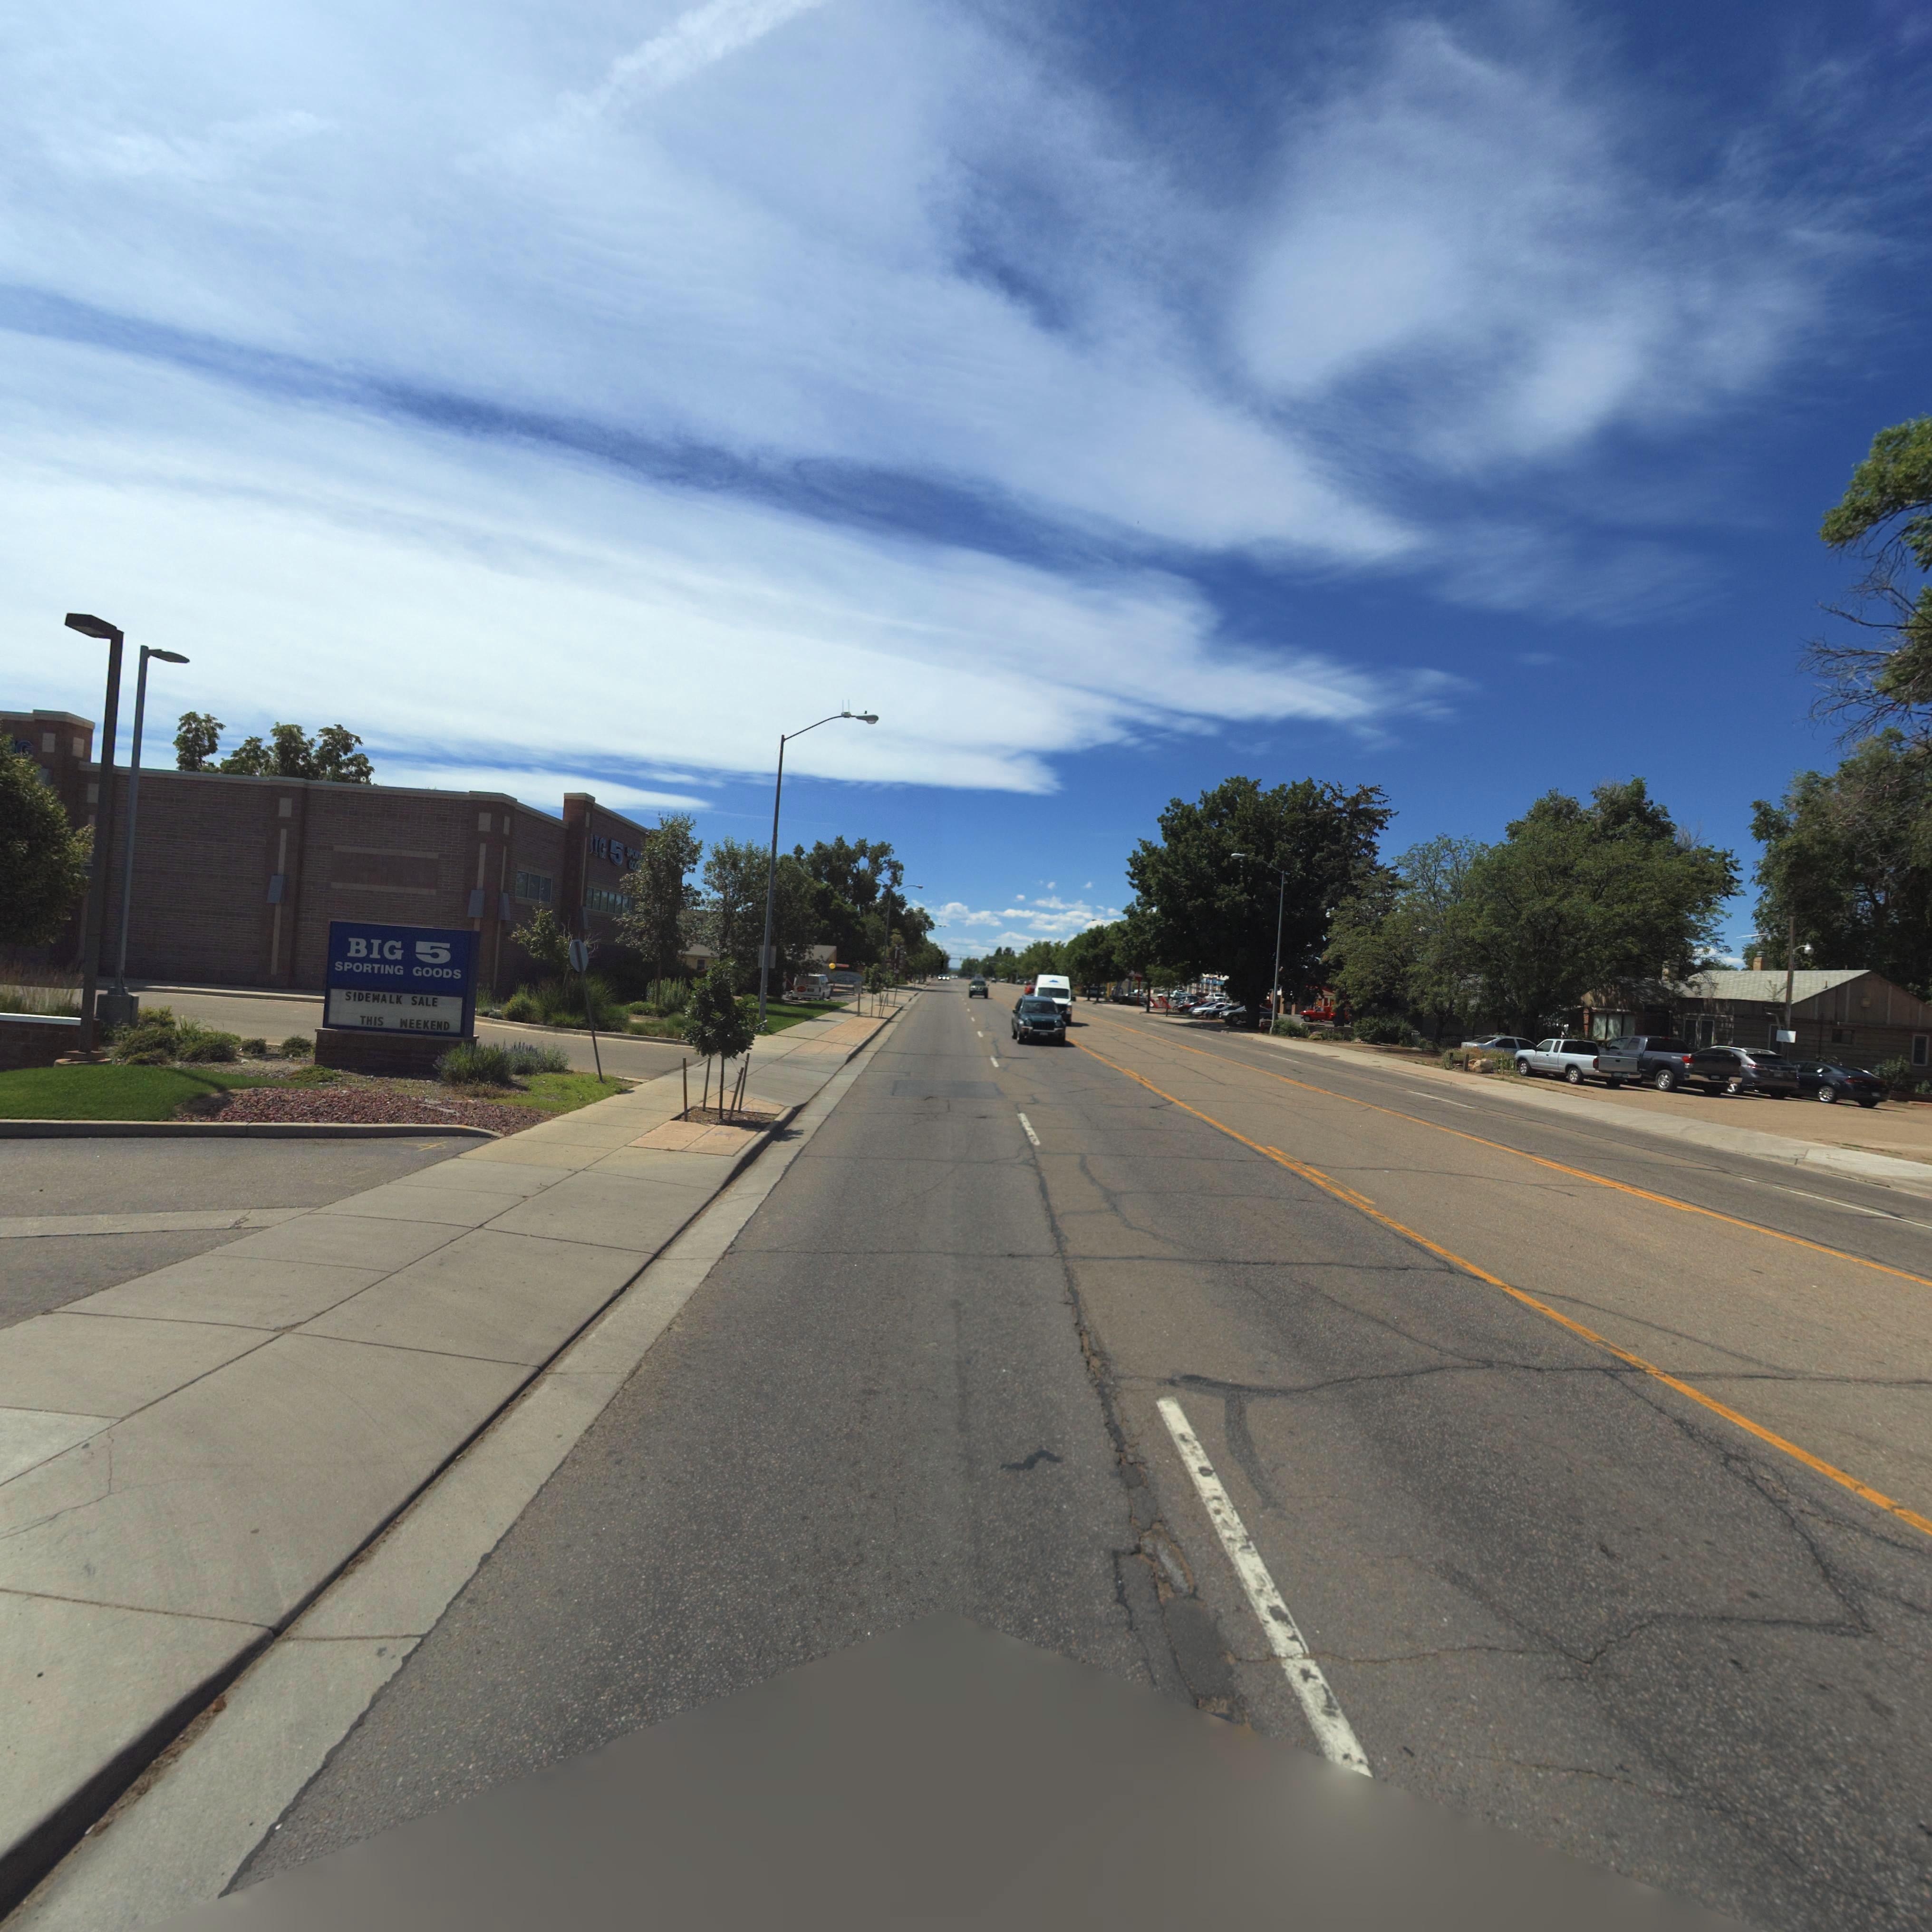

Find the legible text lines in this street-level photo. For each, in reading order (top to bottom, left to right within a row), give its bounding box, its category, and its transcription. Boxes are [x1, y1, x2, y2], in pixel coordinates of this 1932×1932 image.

[587, 831, 624, 867] BusinessName: *IG 5
[627, 846, 641, 861] BusinessName: SPORT
[628, 859, 640, 871] BusinessName: GOO
[346, 937, 452, 965] BusinessName: BIG 5
[334, 961, 463, 979] BusinessName: SPORTING GOODS